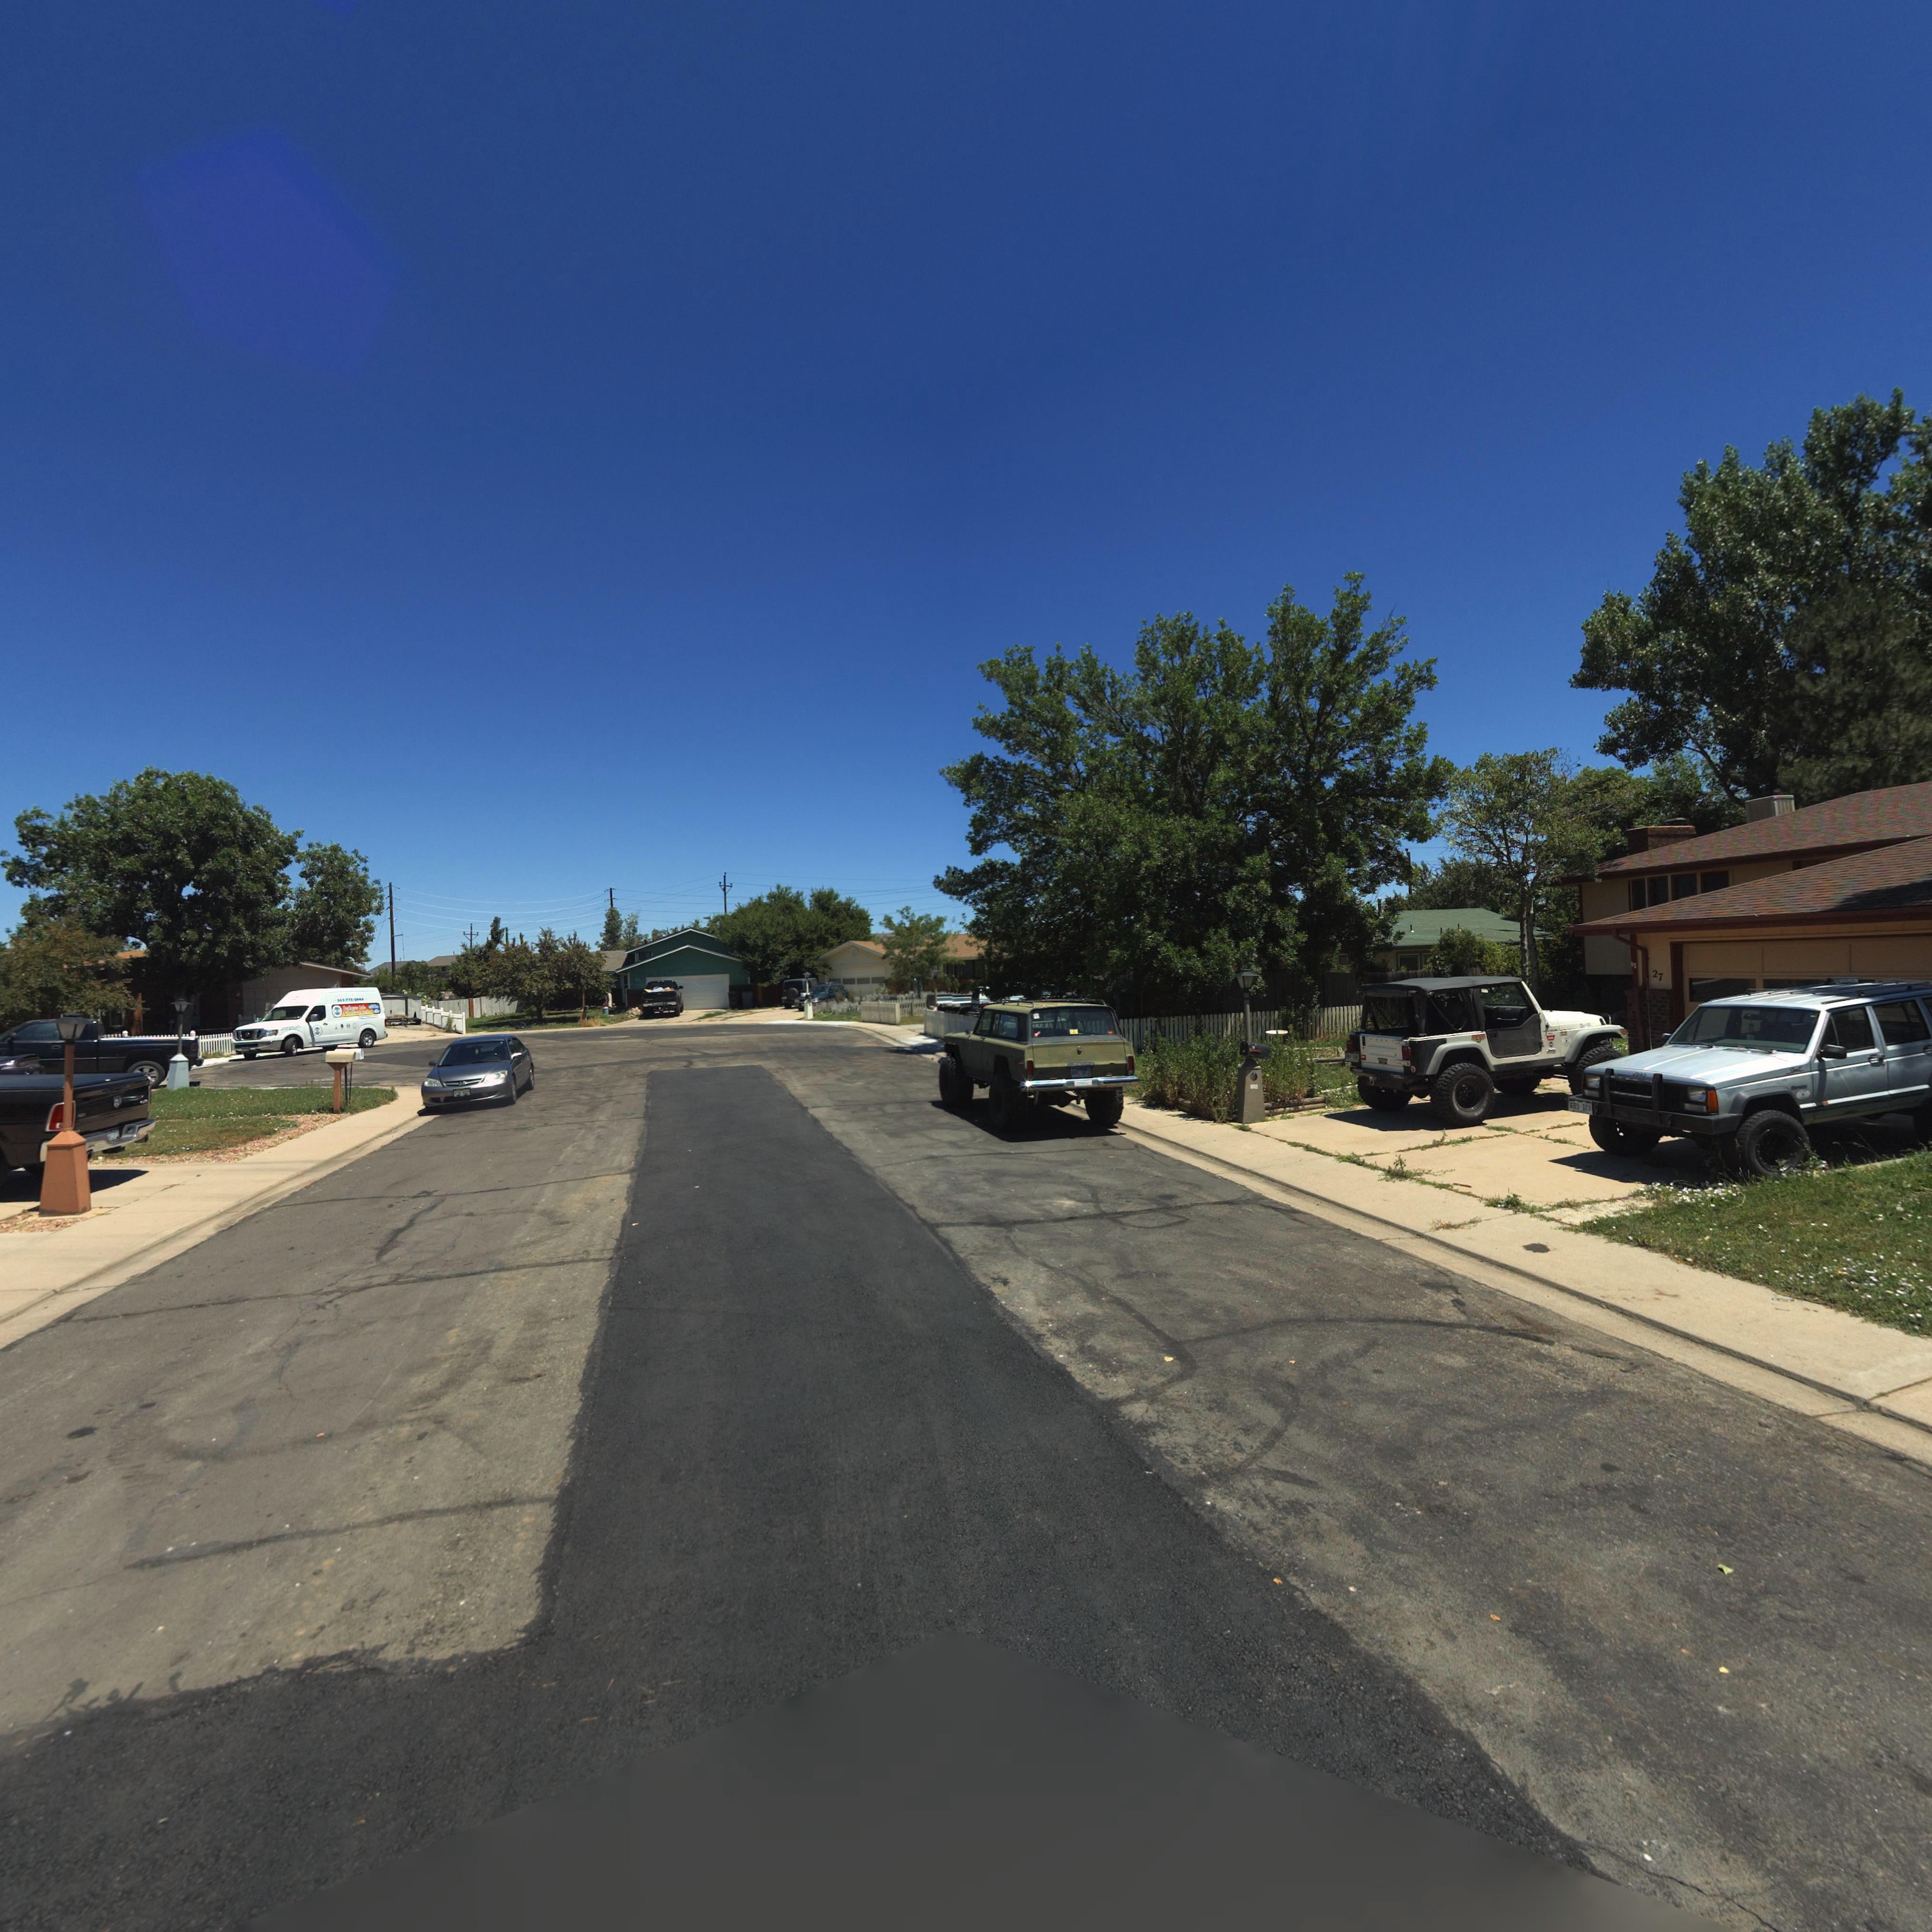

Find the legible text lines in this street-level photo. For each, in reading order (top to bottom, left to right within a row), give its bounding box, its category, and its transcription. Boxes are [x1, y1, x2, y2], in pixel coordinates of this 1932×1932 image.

[635, 976, 641, 982] StreetNumber: 10
[1652, 969, 1663, 981] StreetNumber: 27